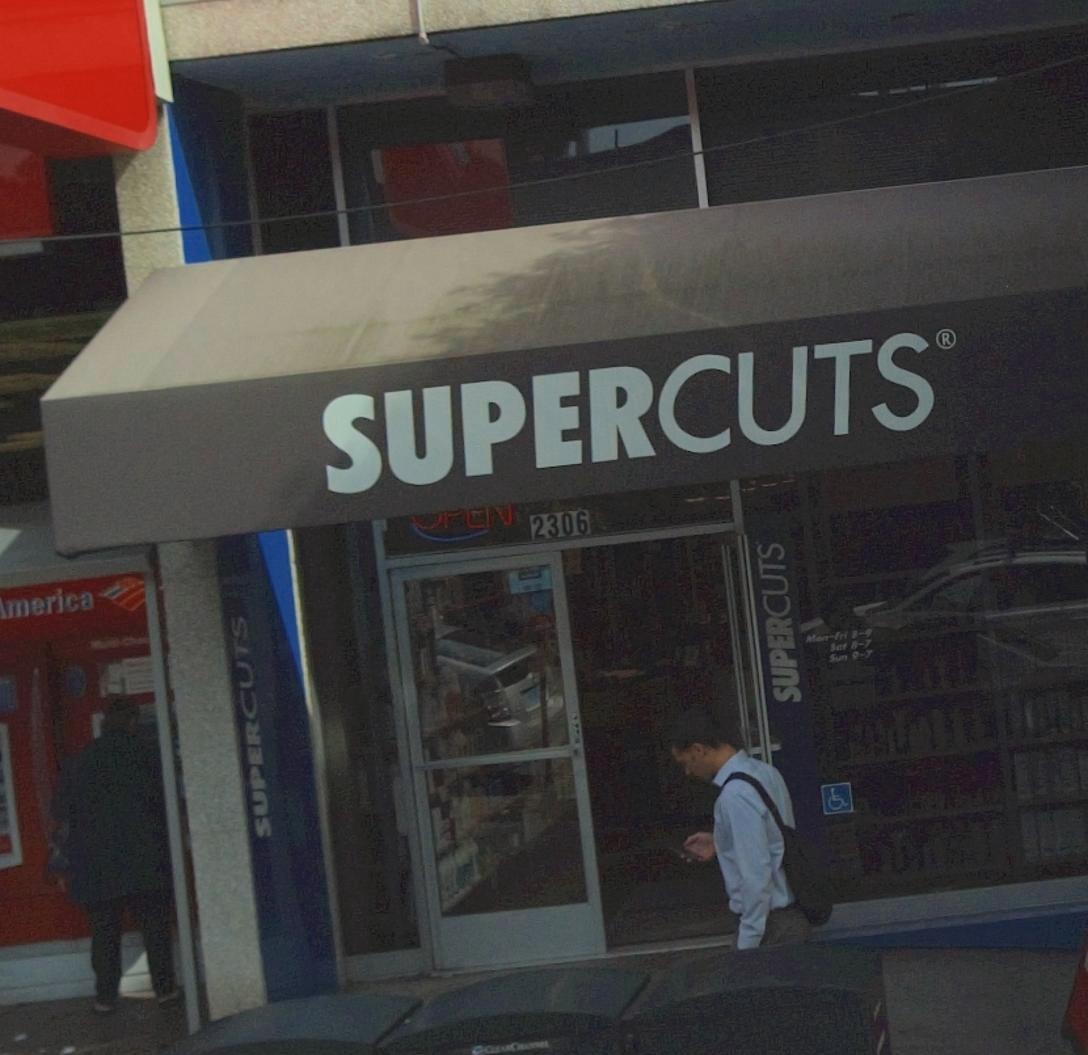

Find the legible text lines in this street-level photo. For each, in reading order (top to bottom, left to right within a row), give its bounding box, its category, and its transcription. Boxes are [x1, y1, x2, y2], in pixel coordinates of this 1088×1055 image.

[320, 326, 942, 498] BusinessName: SUPER CUTS
[529, 509, 591, 542] StreetNumber: 2306
[5, 585, 96, 622] BusinessName: merica
[753, 538, 807, 704] BusinessName: SUPERCUTS
[803, 626, 875, 646] None: M**-*** 8-9
[828, 637, 875, 655] None: Sat 8-7
[826, 647, 877, 665] None: S** 9-7
[227, 612, 276, 840] BusinessName: SUPERCUTS